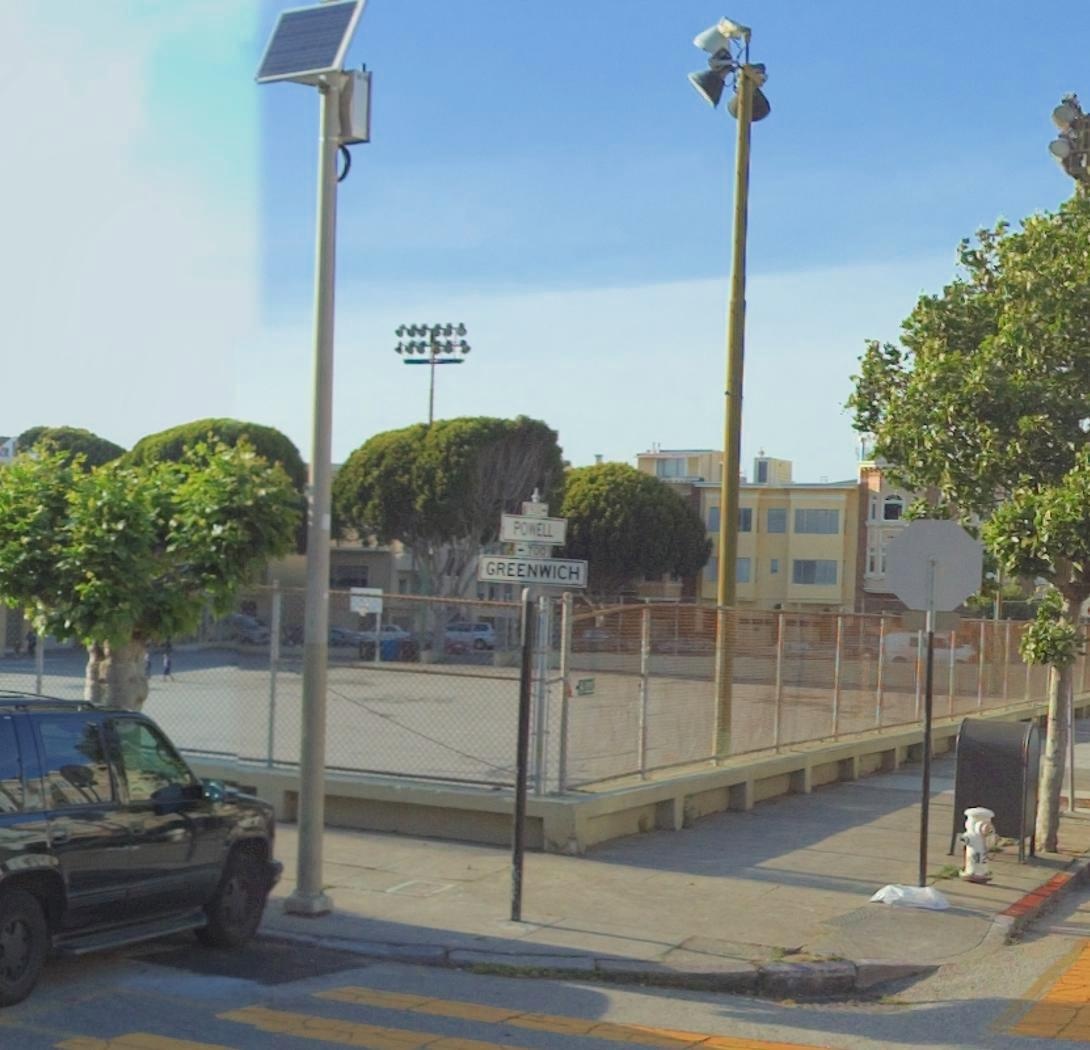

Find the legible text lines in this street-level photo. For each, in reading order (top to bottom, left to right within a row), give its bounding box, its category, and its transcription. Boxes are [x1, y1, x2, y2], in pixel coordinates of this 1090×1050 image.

[511, 519, 556, 541] StreetName: POWELL
[515, 543, 549, 558] StreetNumberRange: <-700
[483, 558, 582, 583] StreetName: GREENWICH